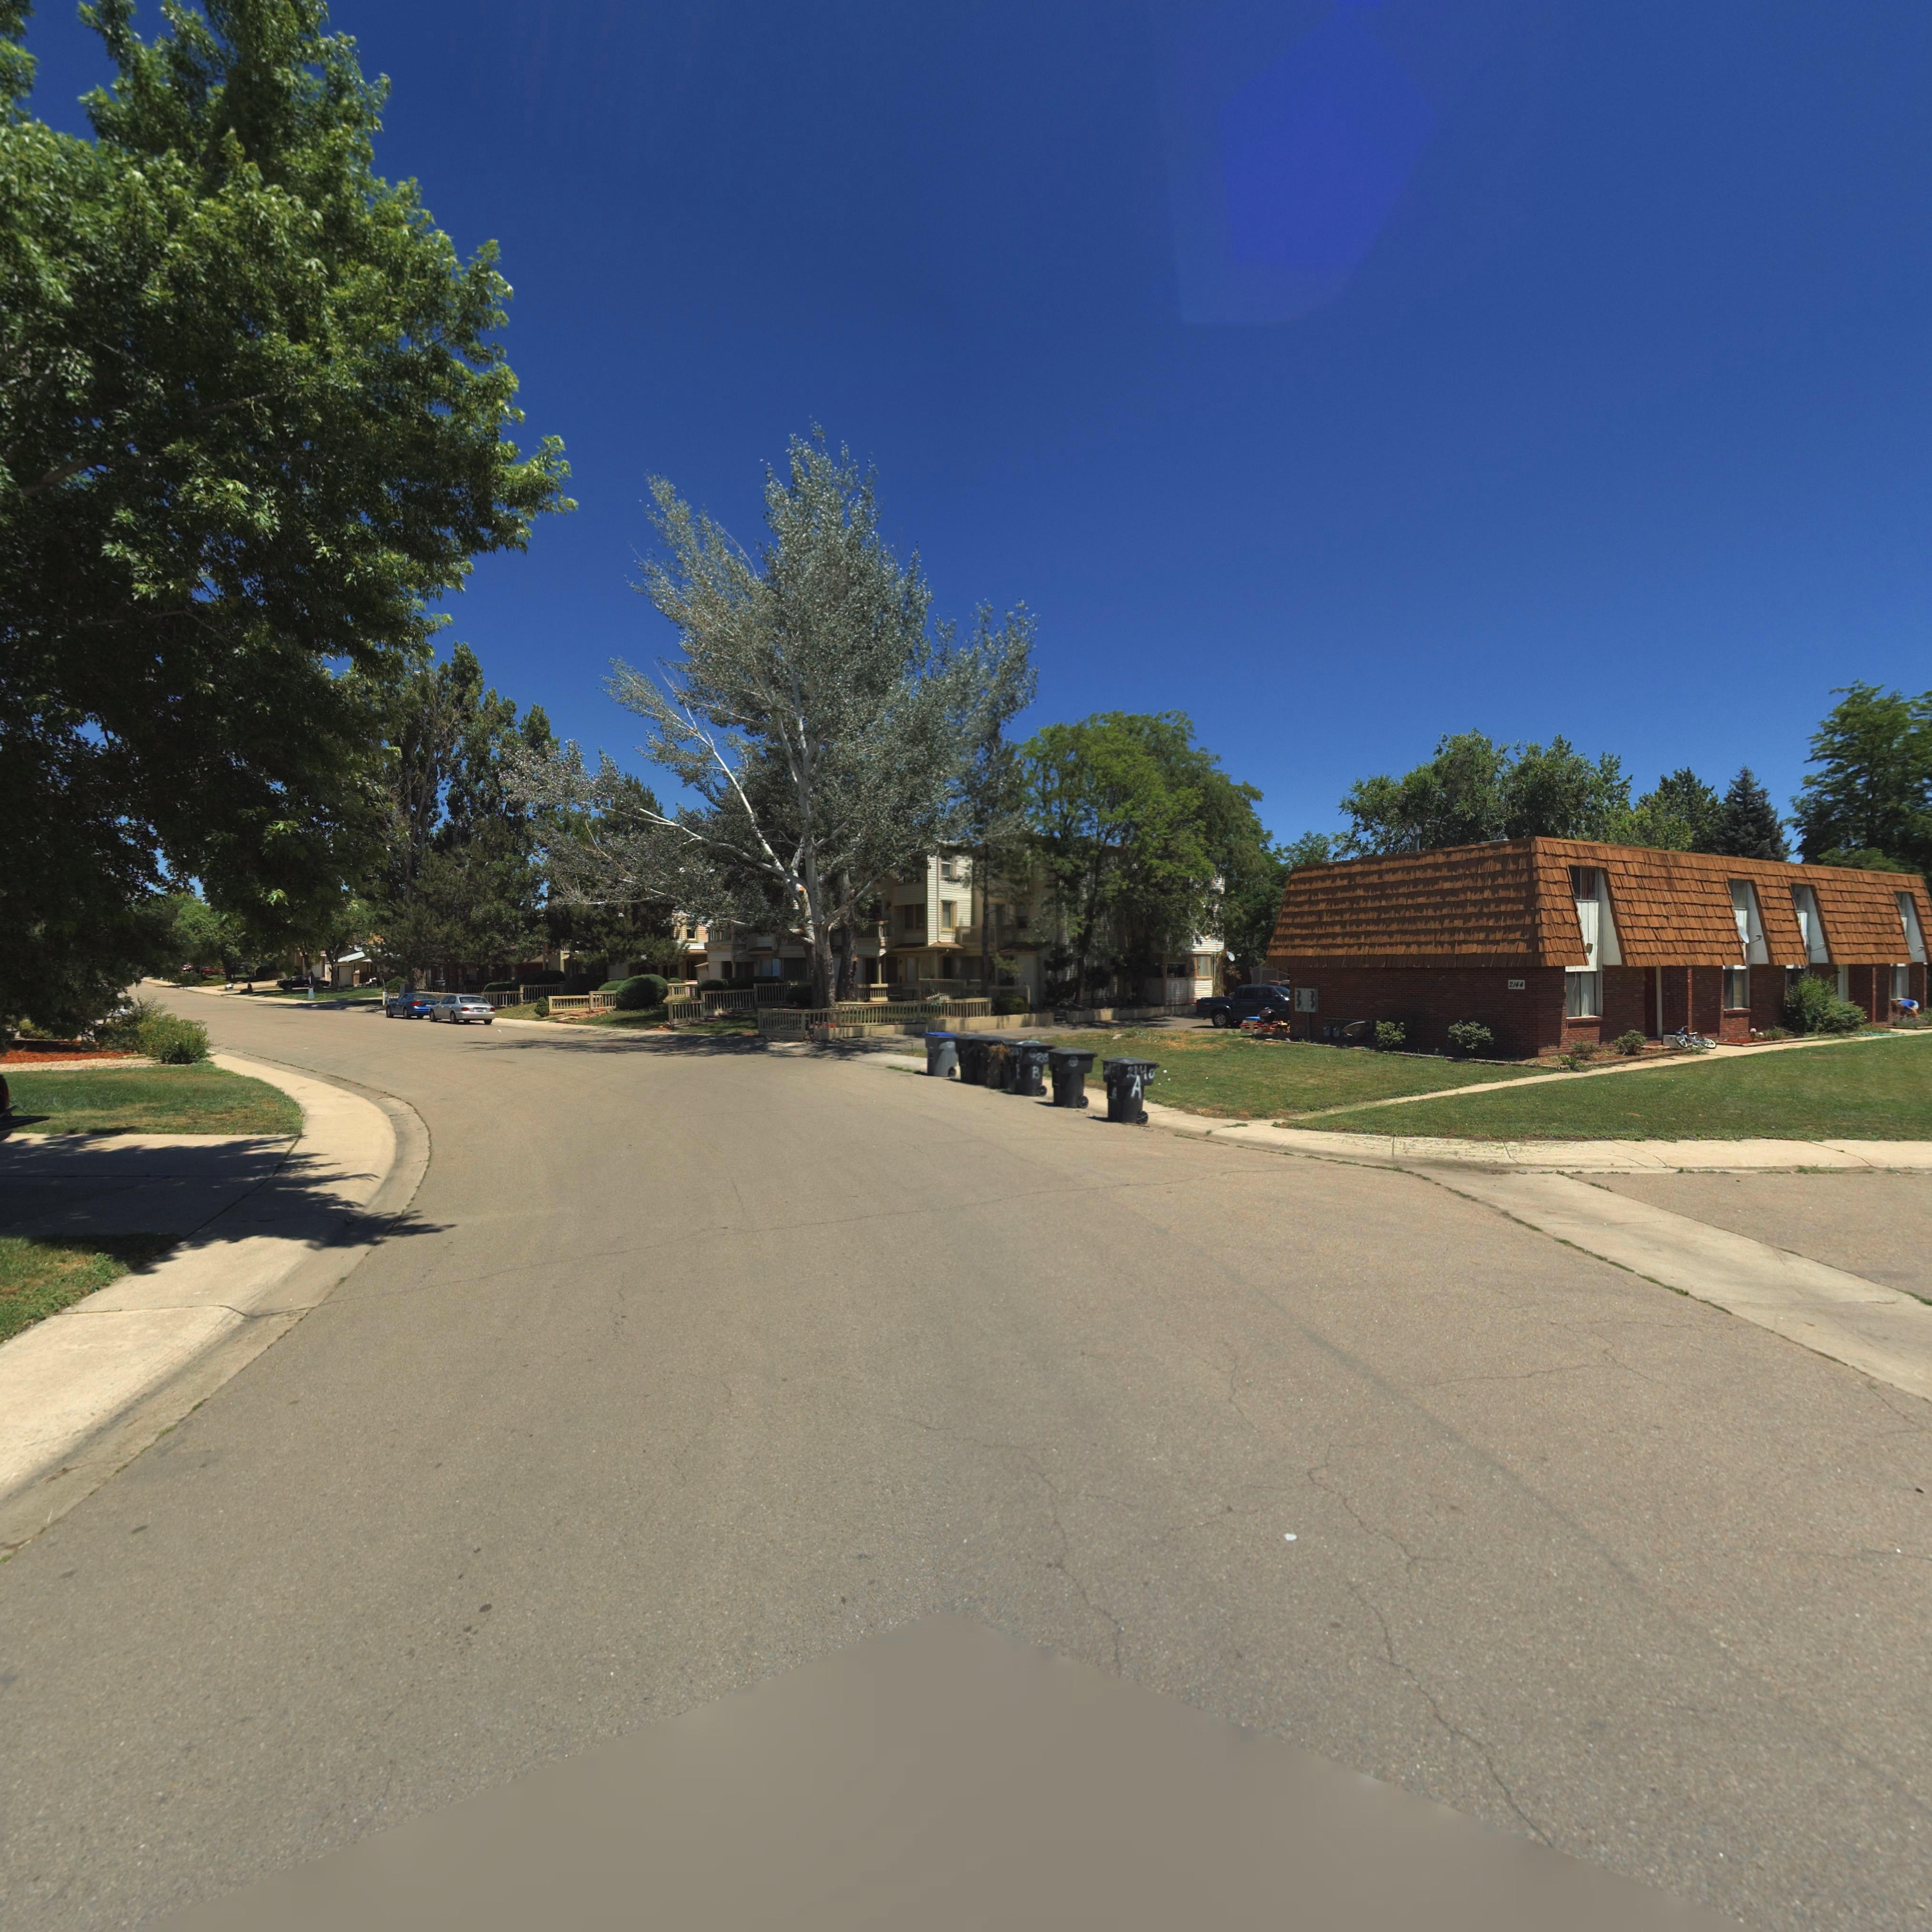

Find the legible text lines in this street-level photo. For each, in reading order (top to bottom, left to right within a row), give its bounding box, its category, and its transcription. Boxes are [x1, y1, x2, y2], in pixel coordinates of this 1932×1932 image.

[1509, 981, 1523, 987] StreetNumber: 2144
[1010, 1047, 1023, 1056] StreetNumber: 2**7
[1036, 1053, 1049, 1063] StreetNumber: 2*
[1103, 1064, 1121, 1076] StreetNumber: 2140
[1126, 1064, 1155, 1080] StreetNumber: 2140